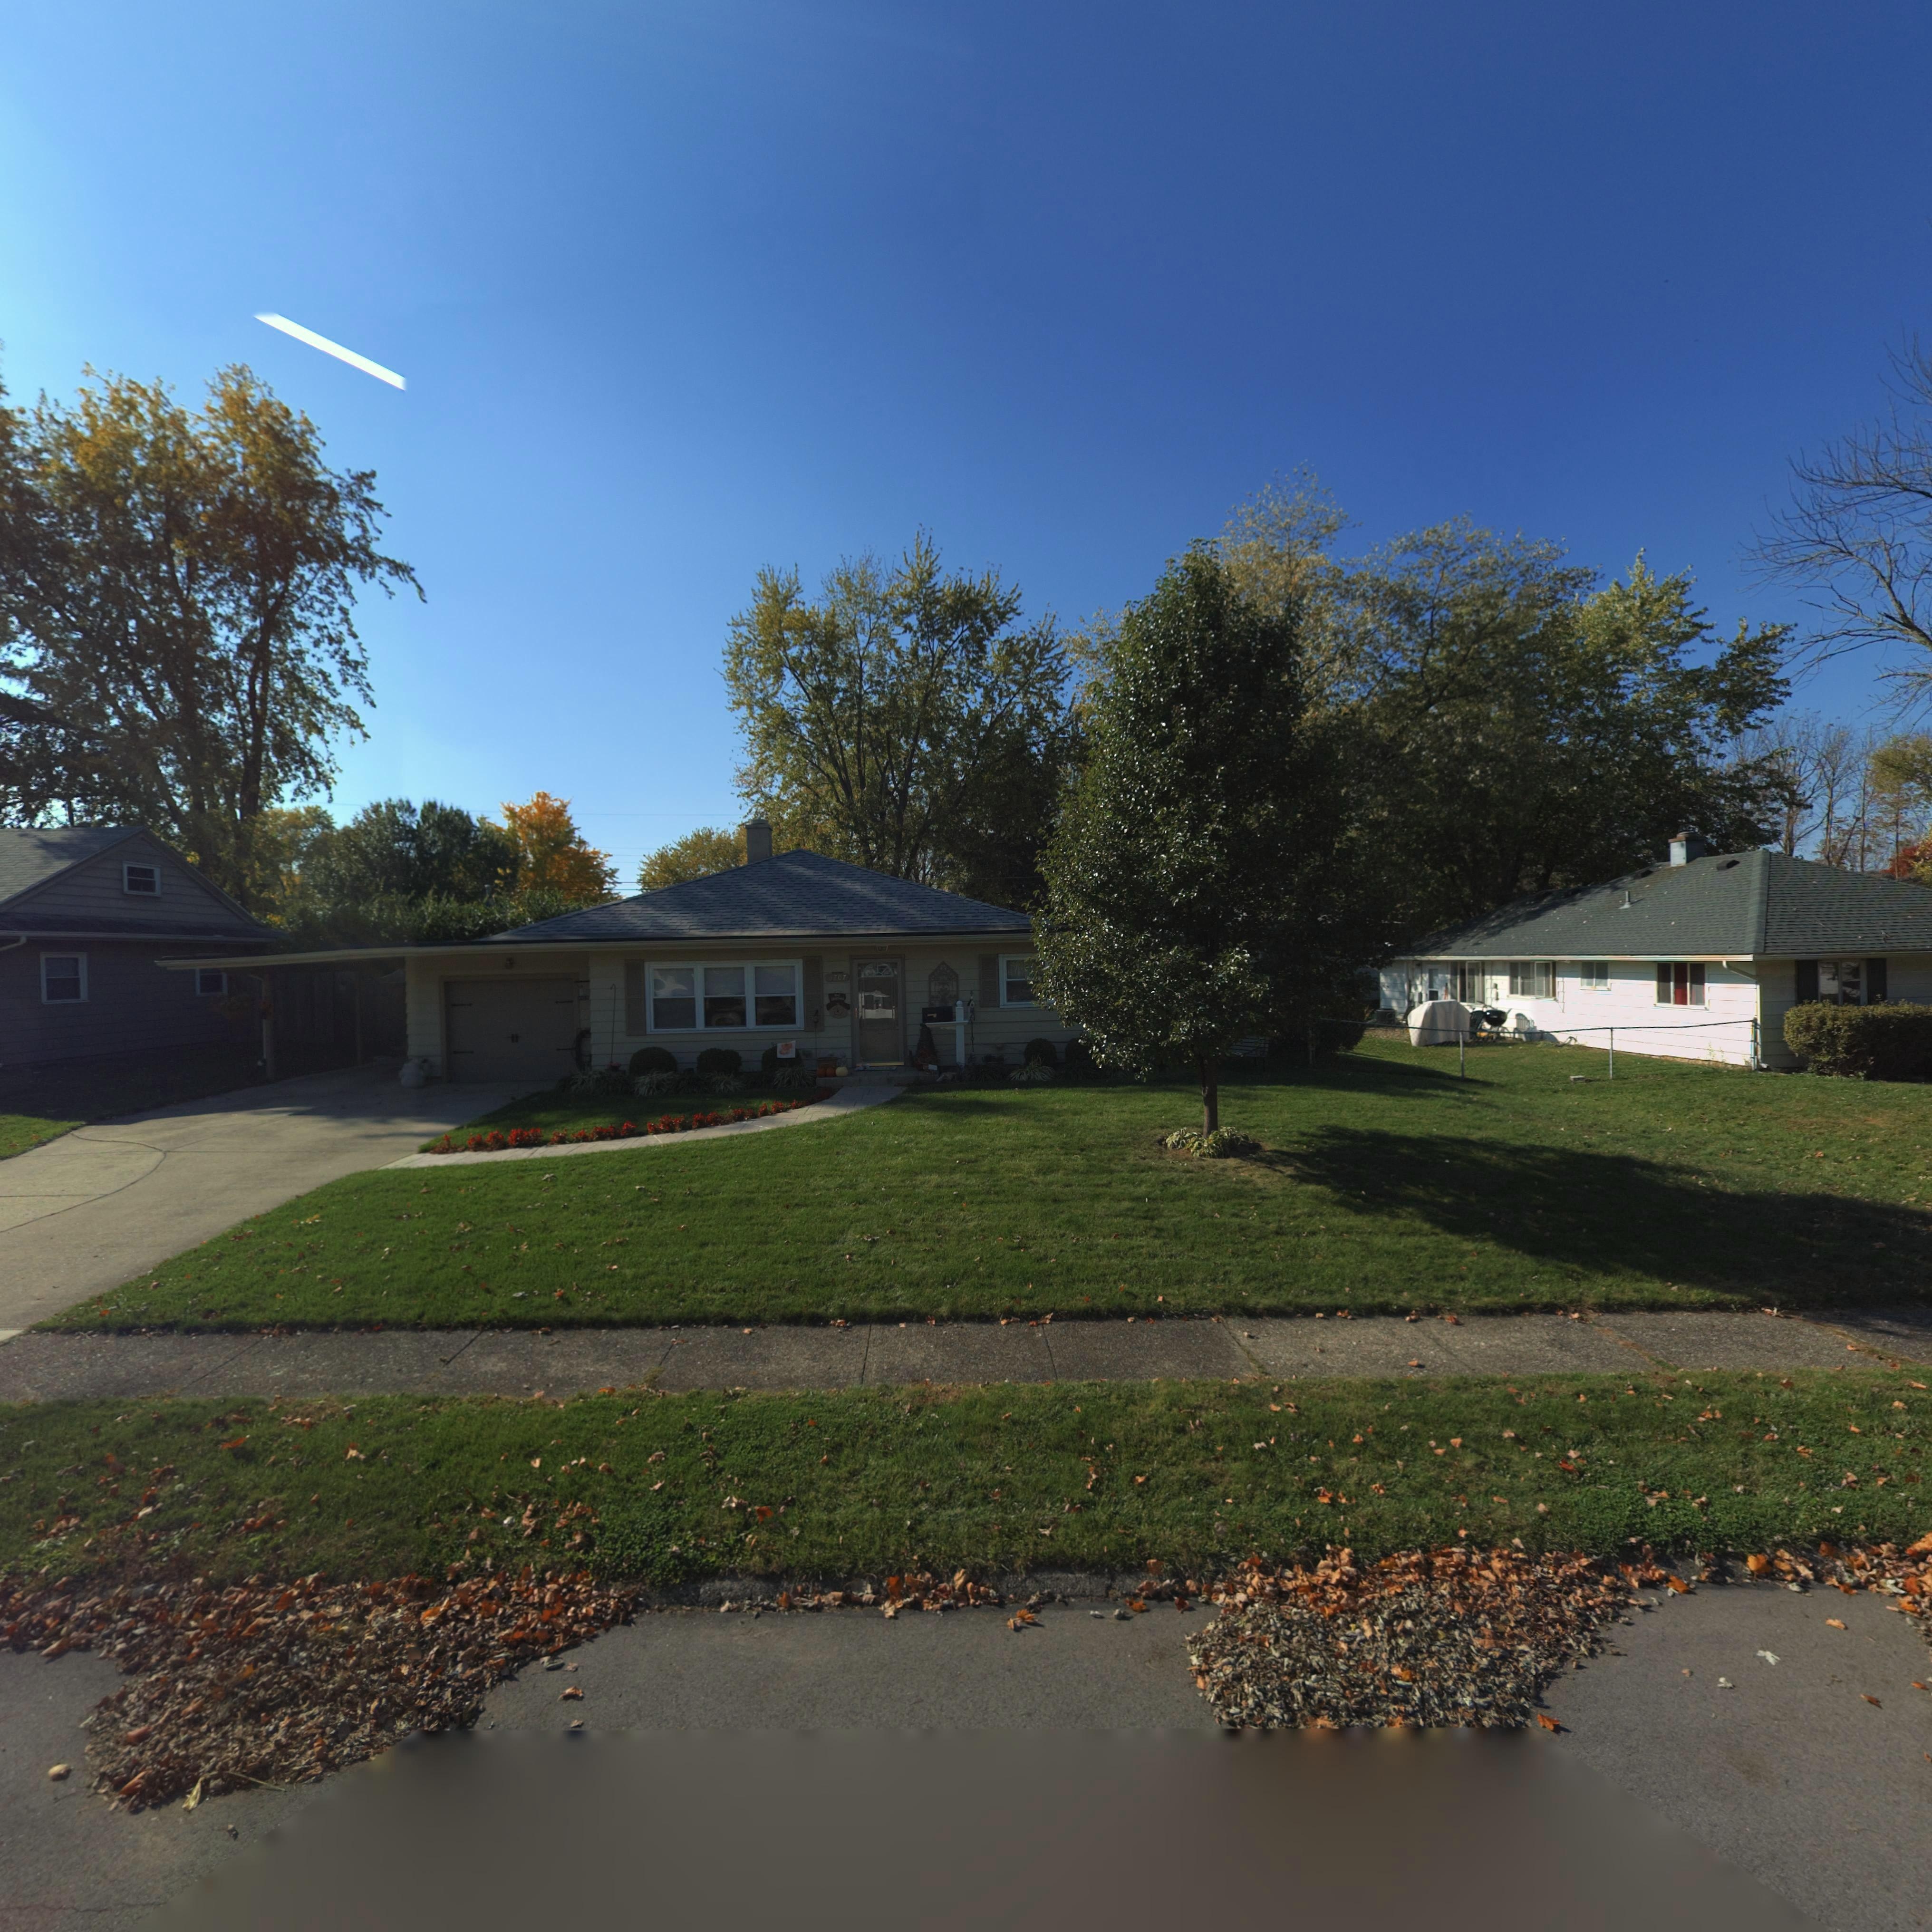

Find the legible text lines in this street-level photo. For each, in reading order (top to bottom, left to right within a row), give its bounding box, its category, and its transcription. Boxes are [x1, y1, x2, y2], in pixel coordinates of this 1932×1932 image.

[828, 975, 847, 982] StreetNumber: 3707